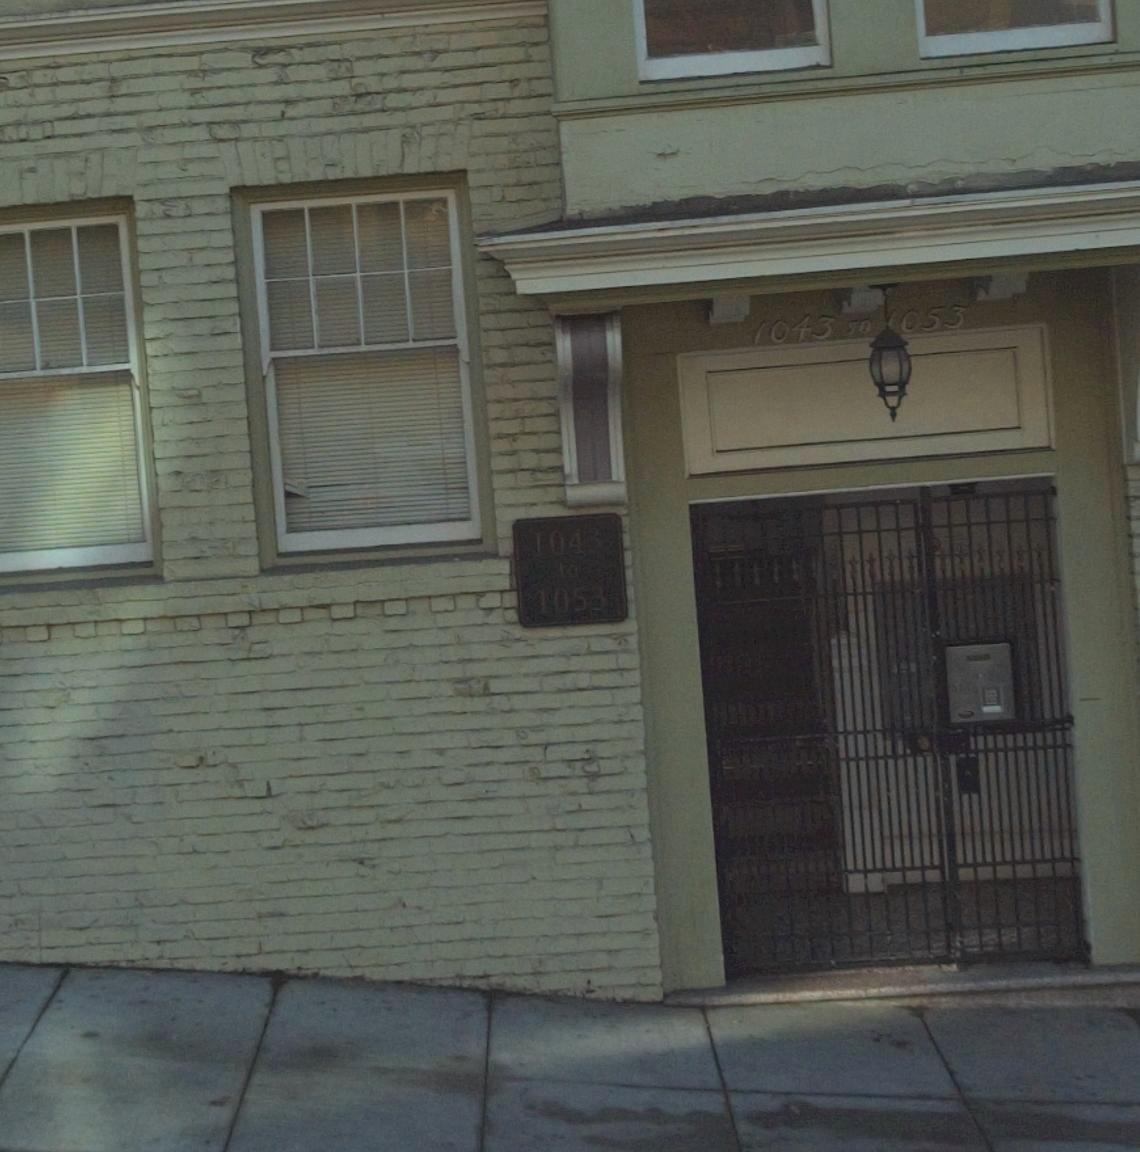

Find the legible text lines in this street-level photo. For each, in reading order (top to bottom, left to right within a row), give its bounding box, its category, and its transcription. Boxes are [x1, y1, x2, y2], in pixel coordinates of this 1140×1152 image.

[748, 311, 840, 351] StreetNumber: 1043
[840, 317, 874, 340] None: *0
[897, 302, 971, 336] StreetNumber: 053
[531, 524, 606, 559] StreetNumber: 1043
[554, 558, 582, 583] None: to
[534, 581, 610, 618] StreetNumber: 1053